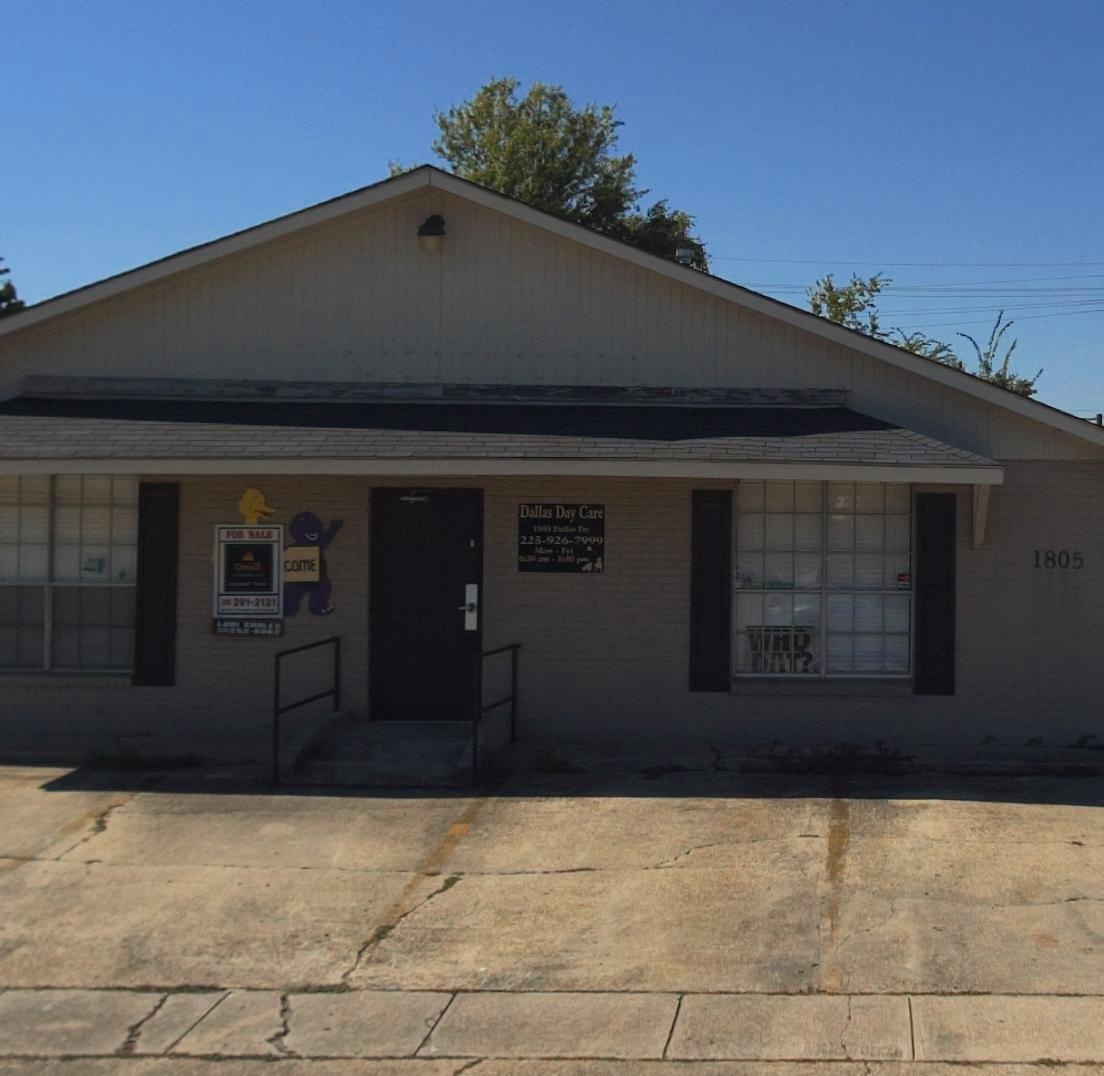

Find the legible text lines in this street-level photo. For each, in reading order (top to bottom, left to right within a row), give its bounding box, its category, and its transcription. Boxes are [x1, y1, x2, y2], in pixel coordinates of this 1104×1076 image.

[518, 503, 605, 525] BusinessName: Dallas Day Care
[223, 527, 276, 541] None: FOR SALE
[518, 534, 606, 547] None: 225-926-7999
[282, 556, 318, 574] None: COME
[531, 543, 576, 557] None: Mon - Fri
[516, 550, 592, 567] None: 6:30am - 6:30pm
[1030, 545, 1087, 573] StreetNumber: 1805
[231, 595, 278, 609] None: 2*1-2121